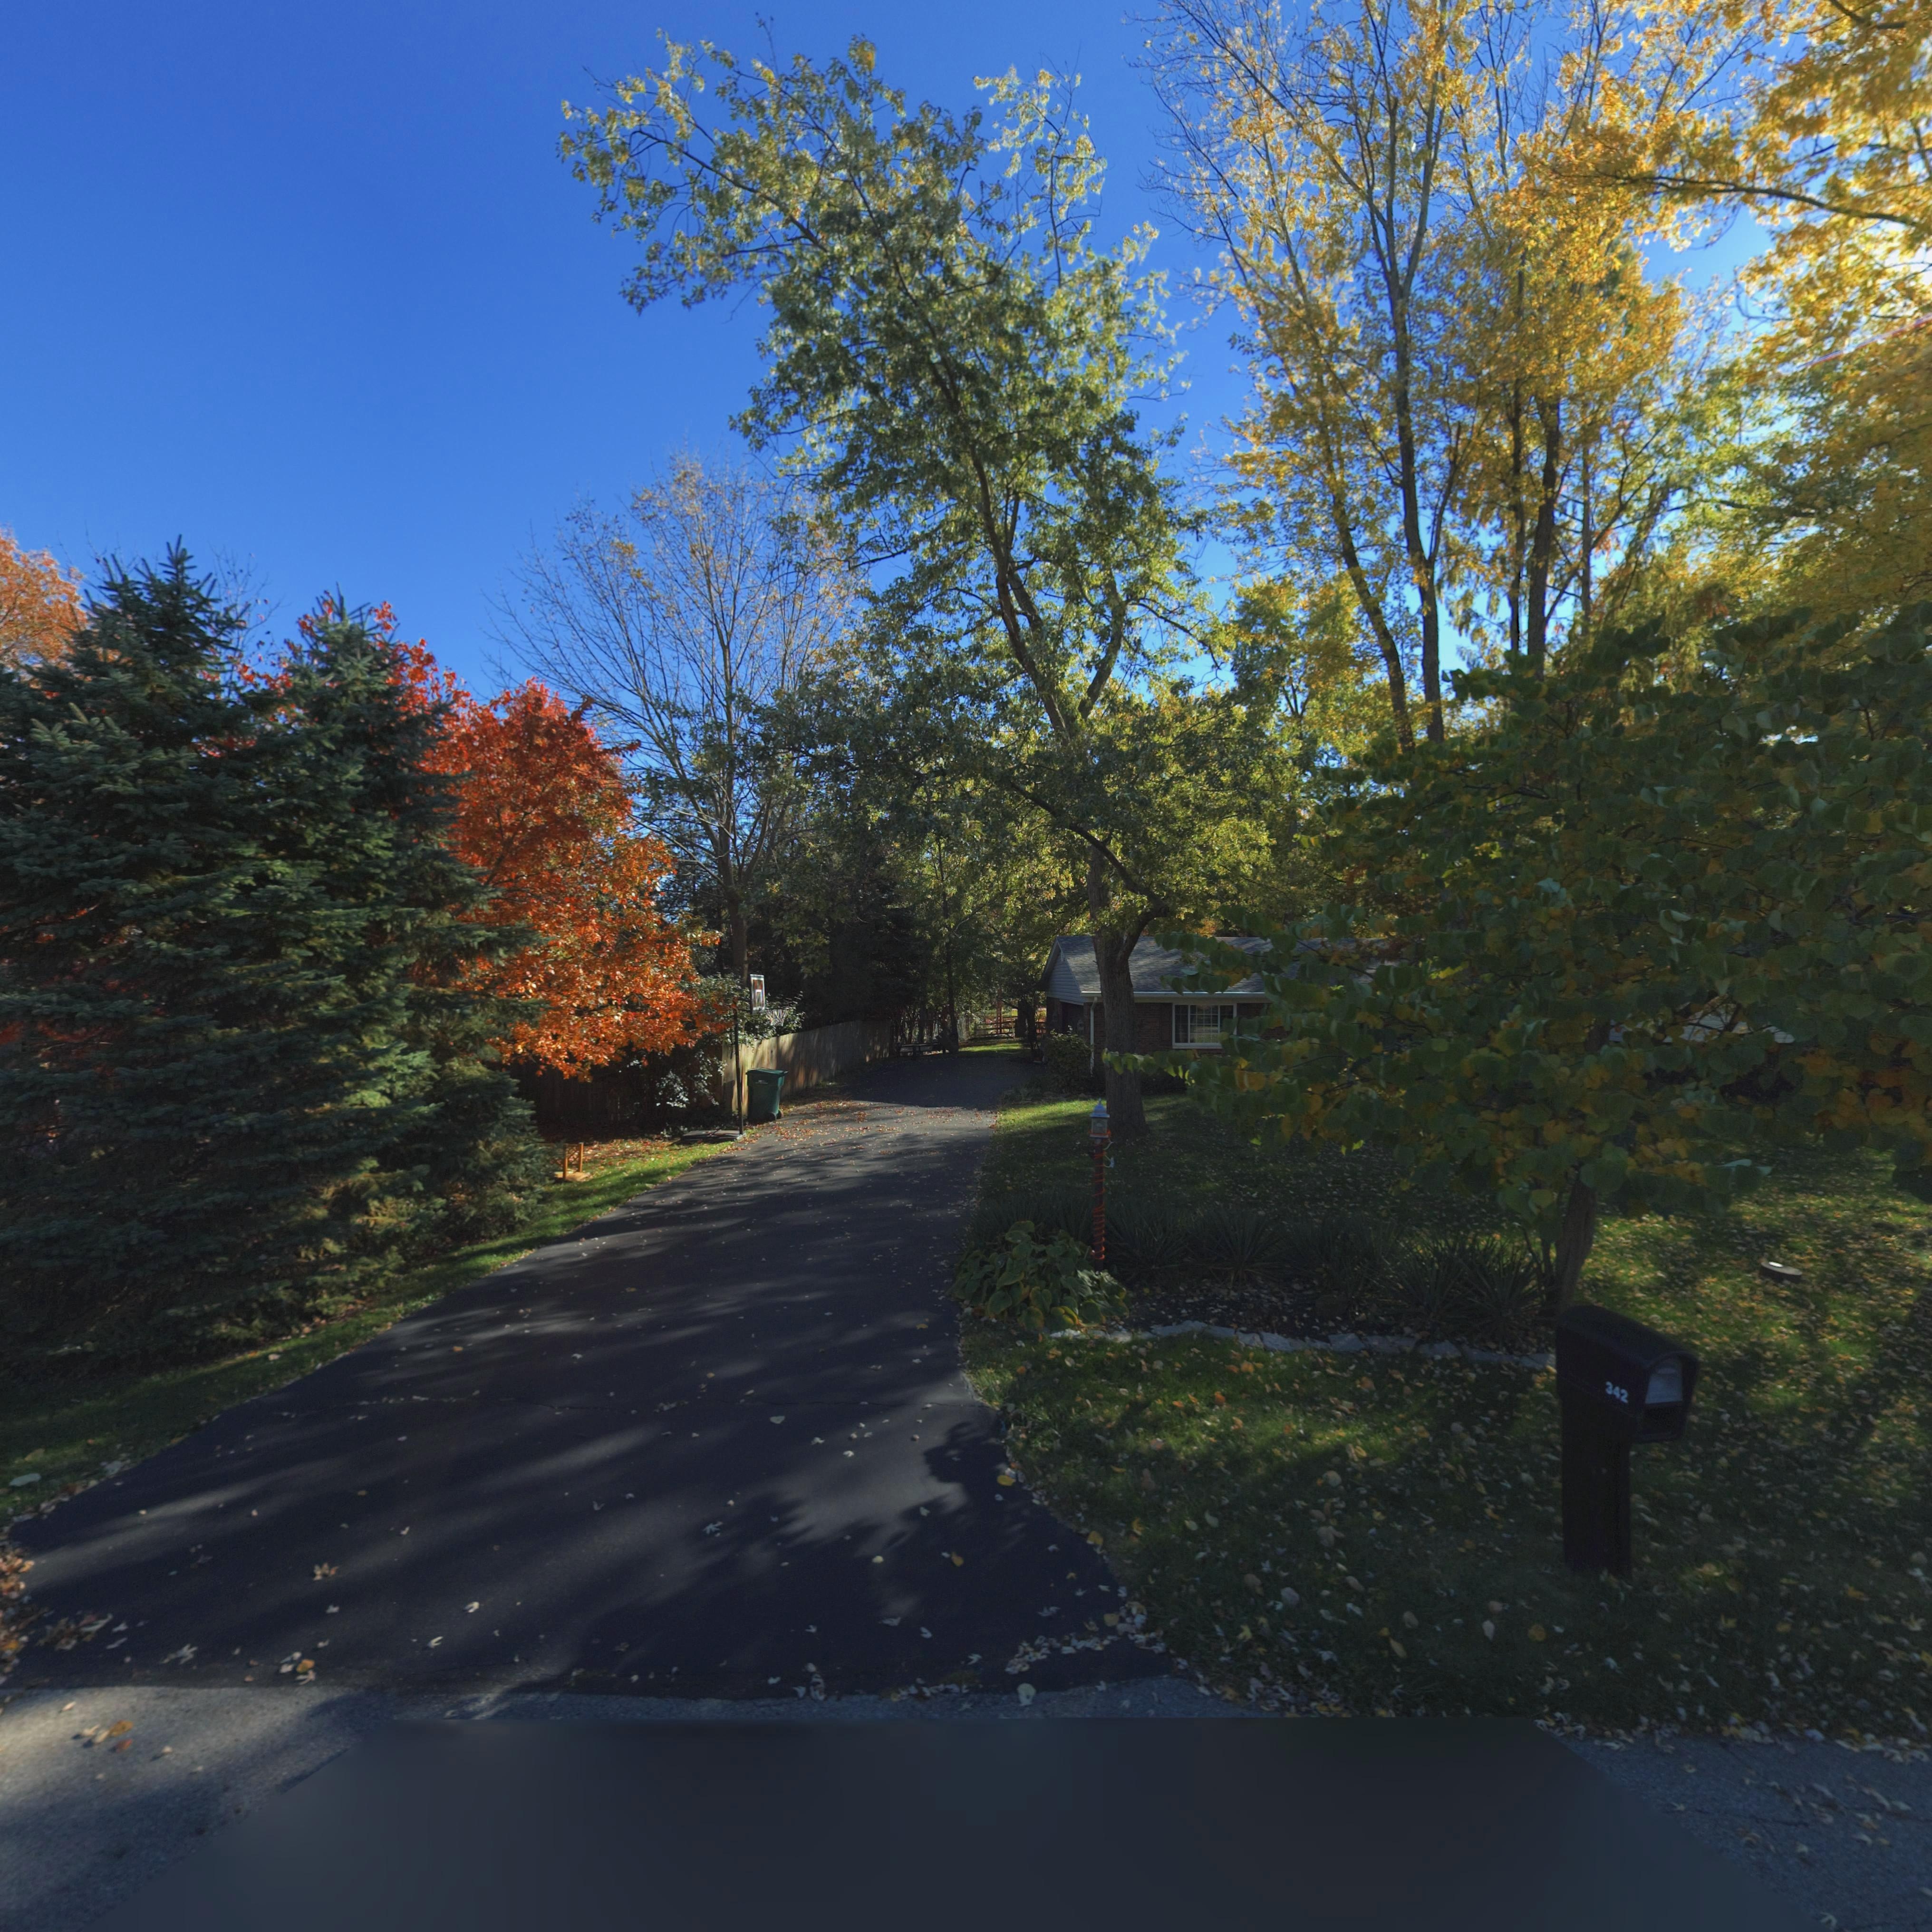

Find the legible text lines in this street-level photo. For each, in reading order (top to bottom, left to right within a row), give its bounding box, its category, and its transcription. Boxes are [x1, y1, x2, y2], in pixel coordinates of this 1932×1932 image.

[1604, 1379, 1630, 1406] StreetNumber: 342